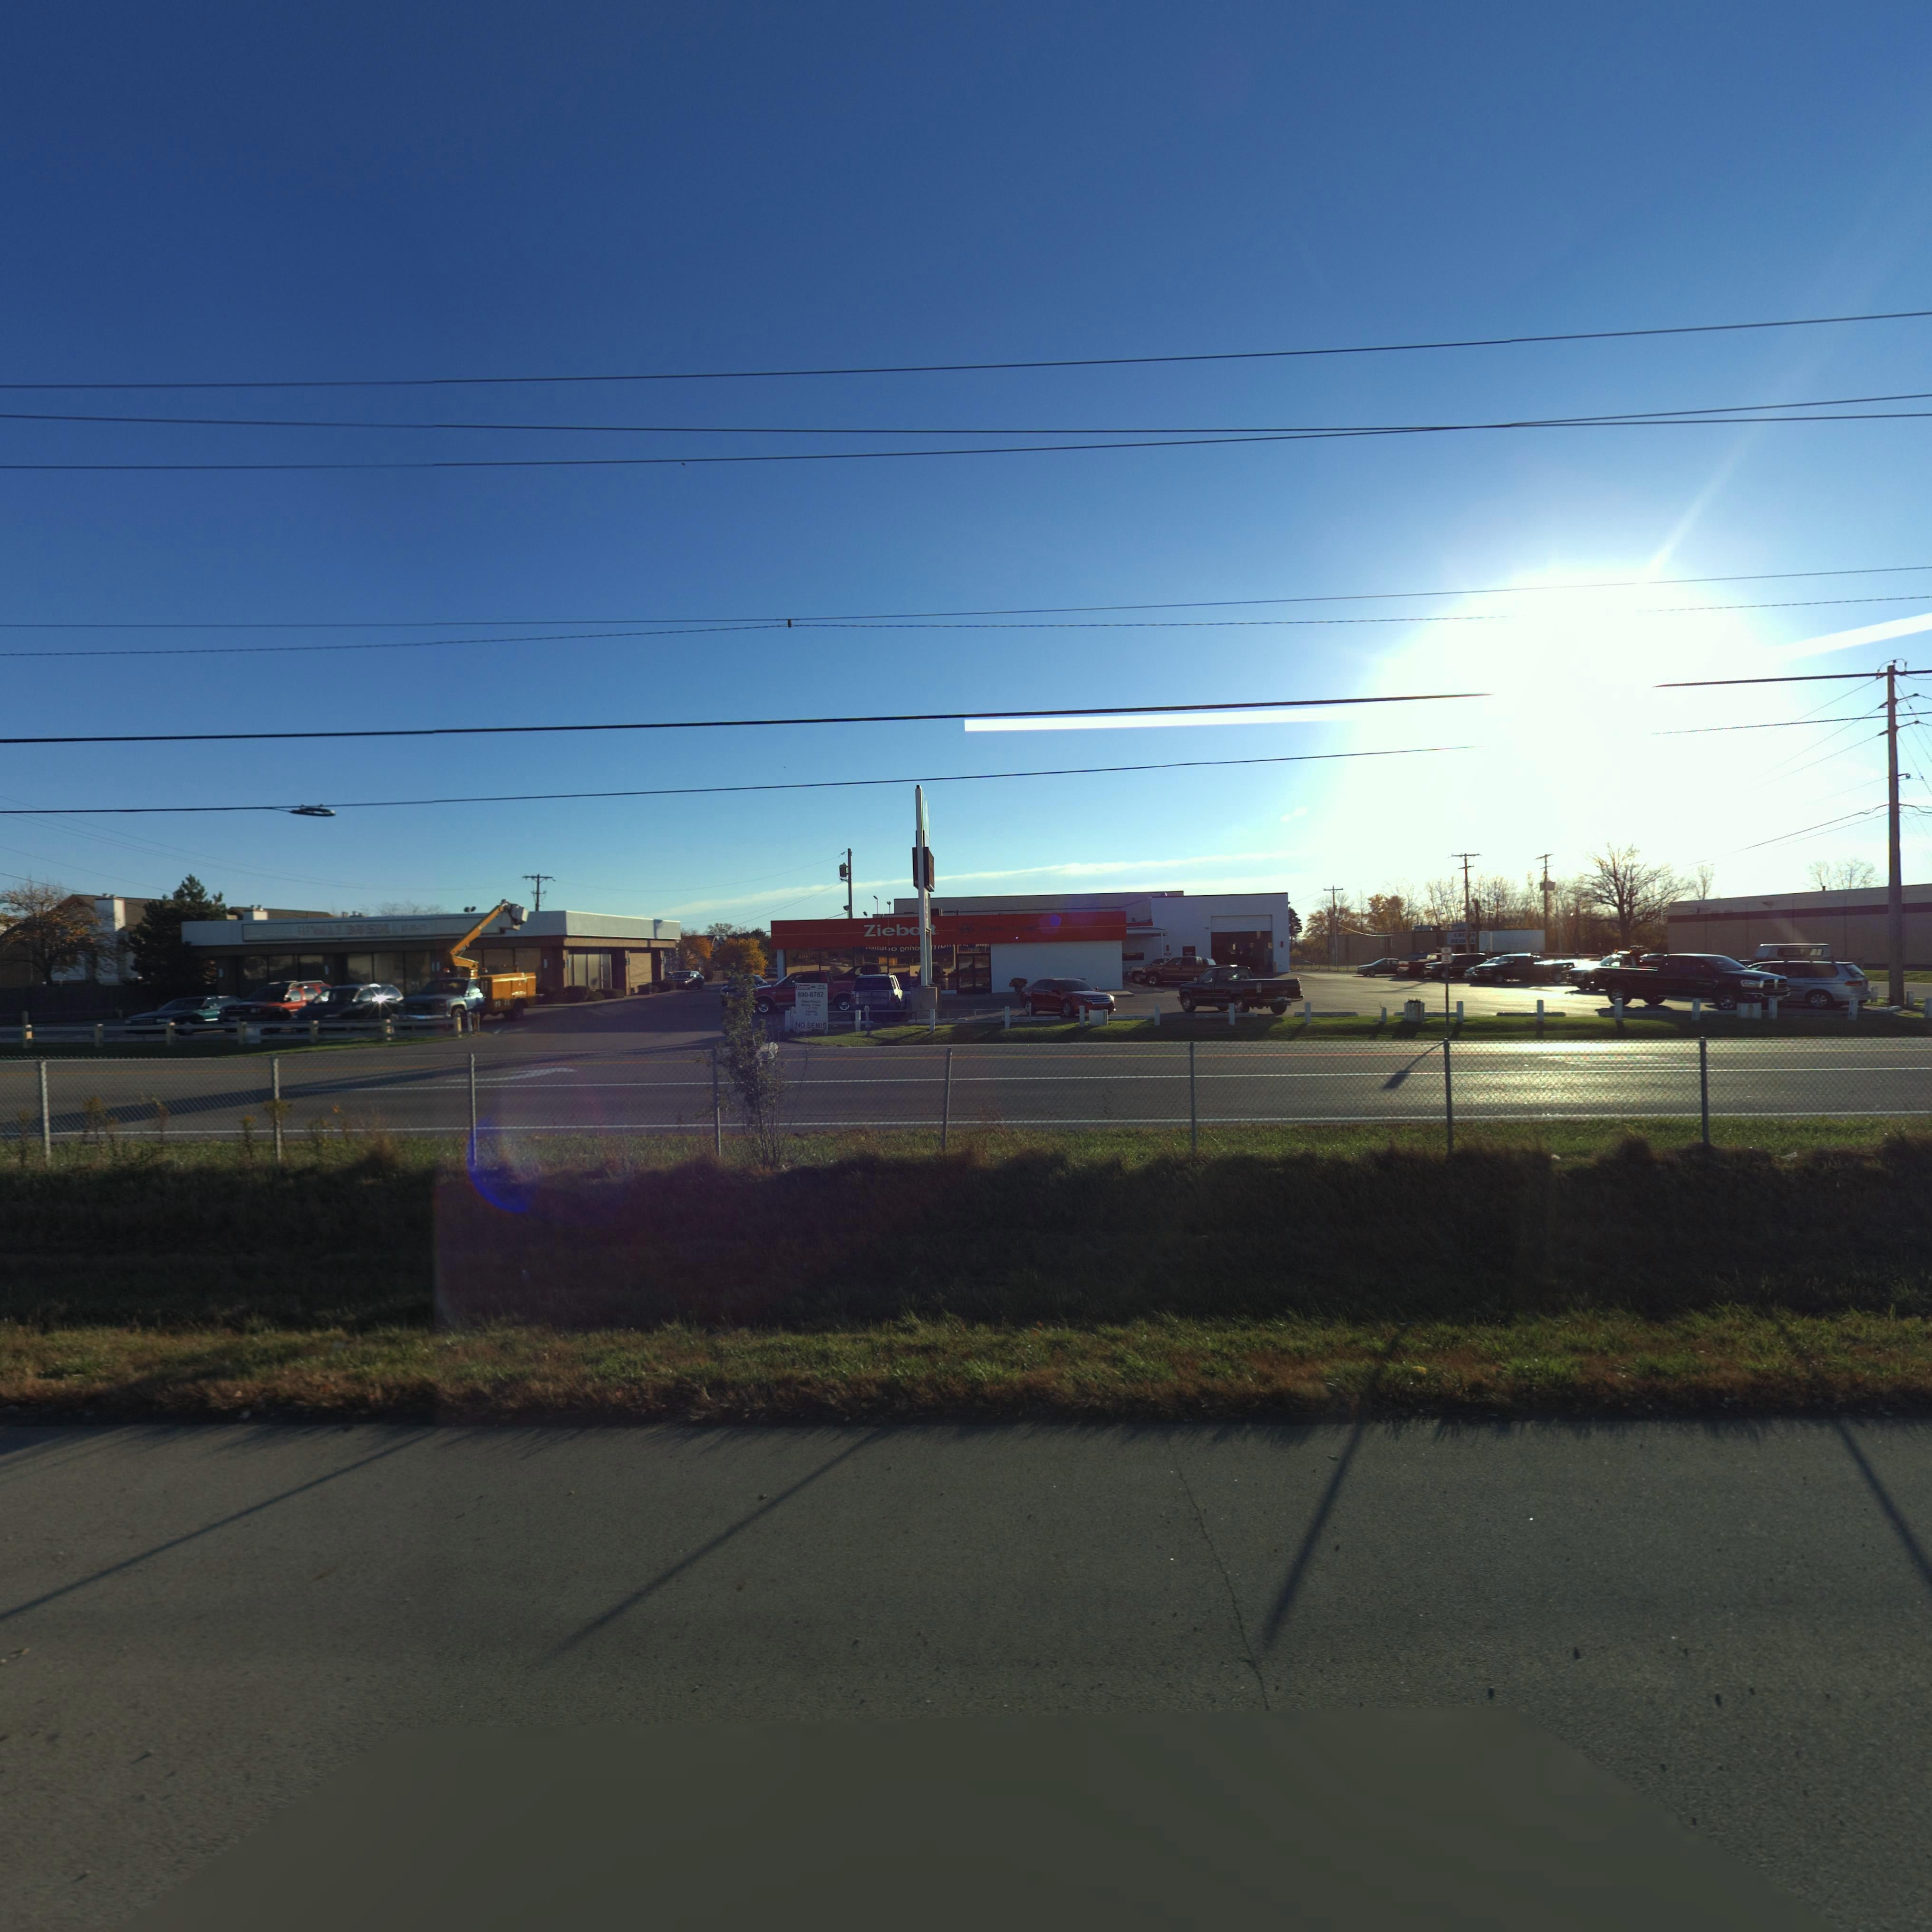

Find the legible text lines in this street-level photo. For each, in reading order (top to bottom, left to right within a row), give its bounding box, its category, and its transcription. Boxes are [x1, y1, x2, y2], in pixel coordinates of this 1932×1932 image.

[861, 922, 920, 940] BusinessName: Zieba
[966, 947, 981, 953] StreetNumber: 7030
[796, 990, 824, 1000] None: 890-8782
[794, 1021, 827, 1032] None: NO SEMIS